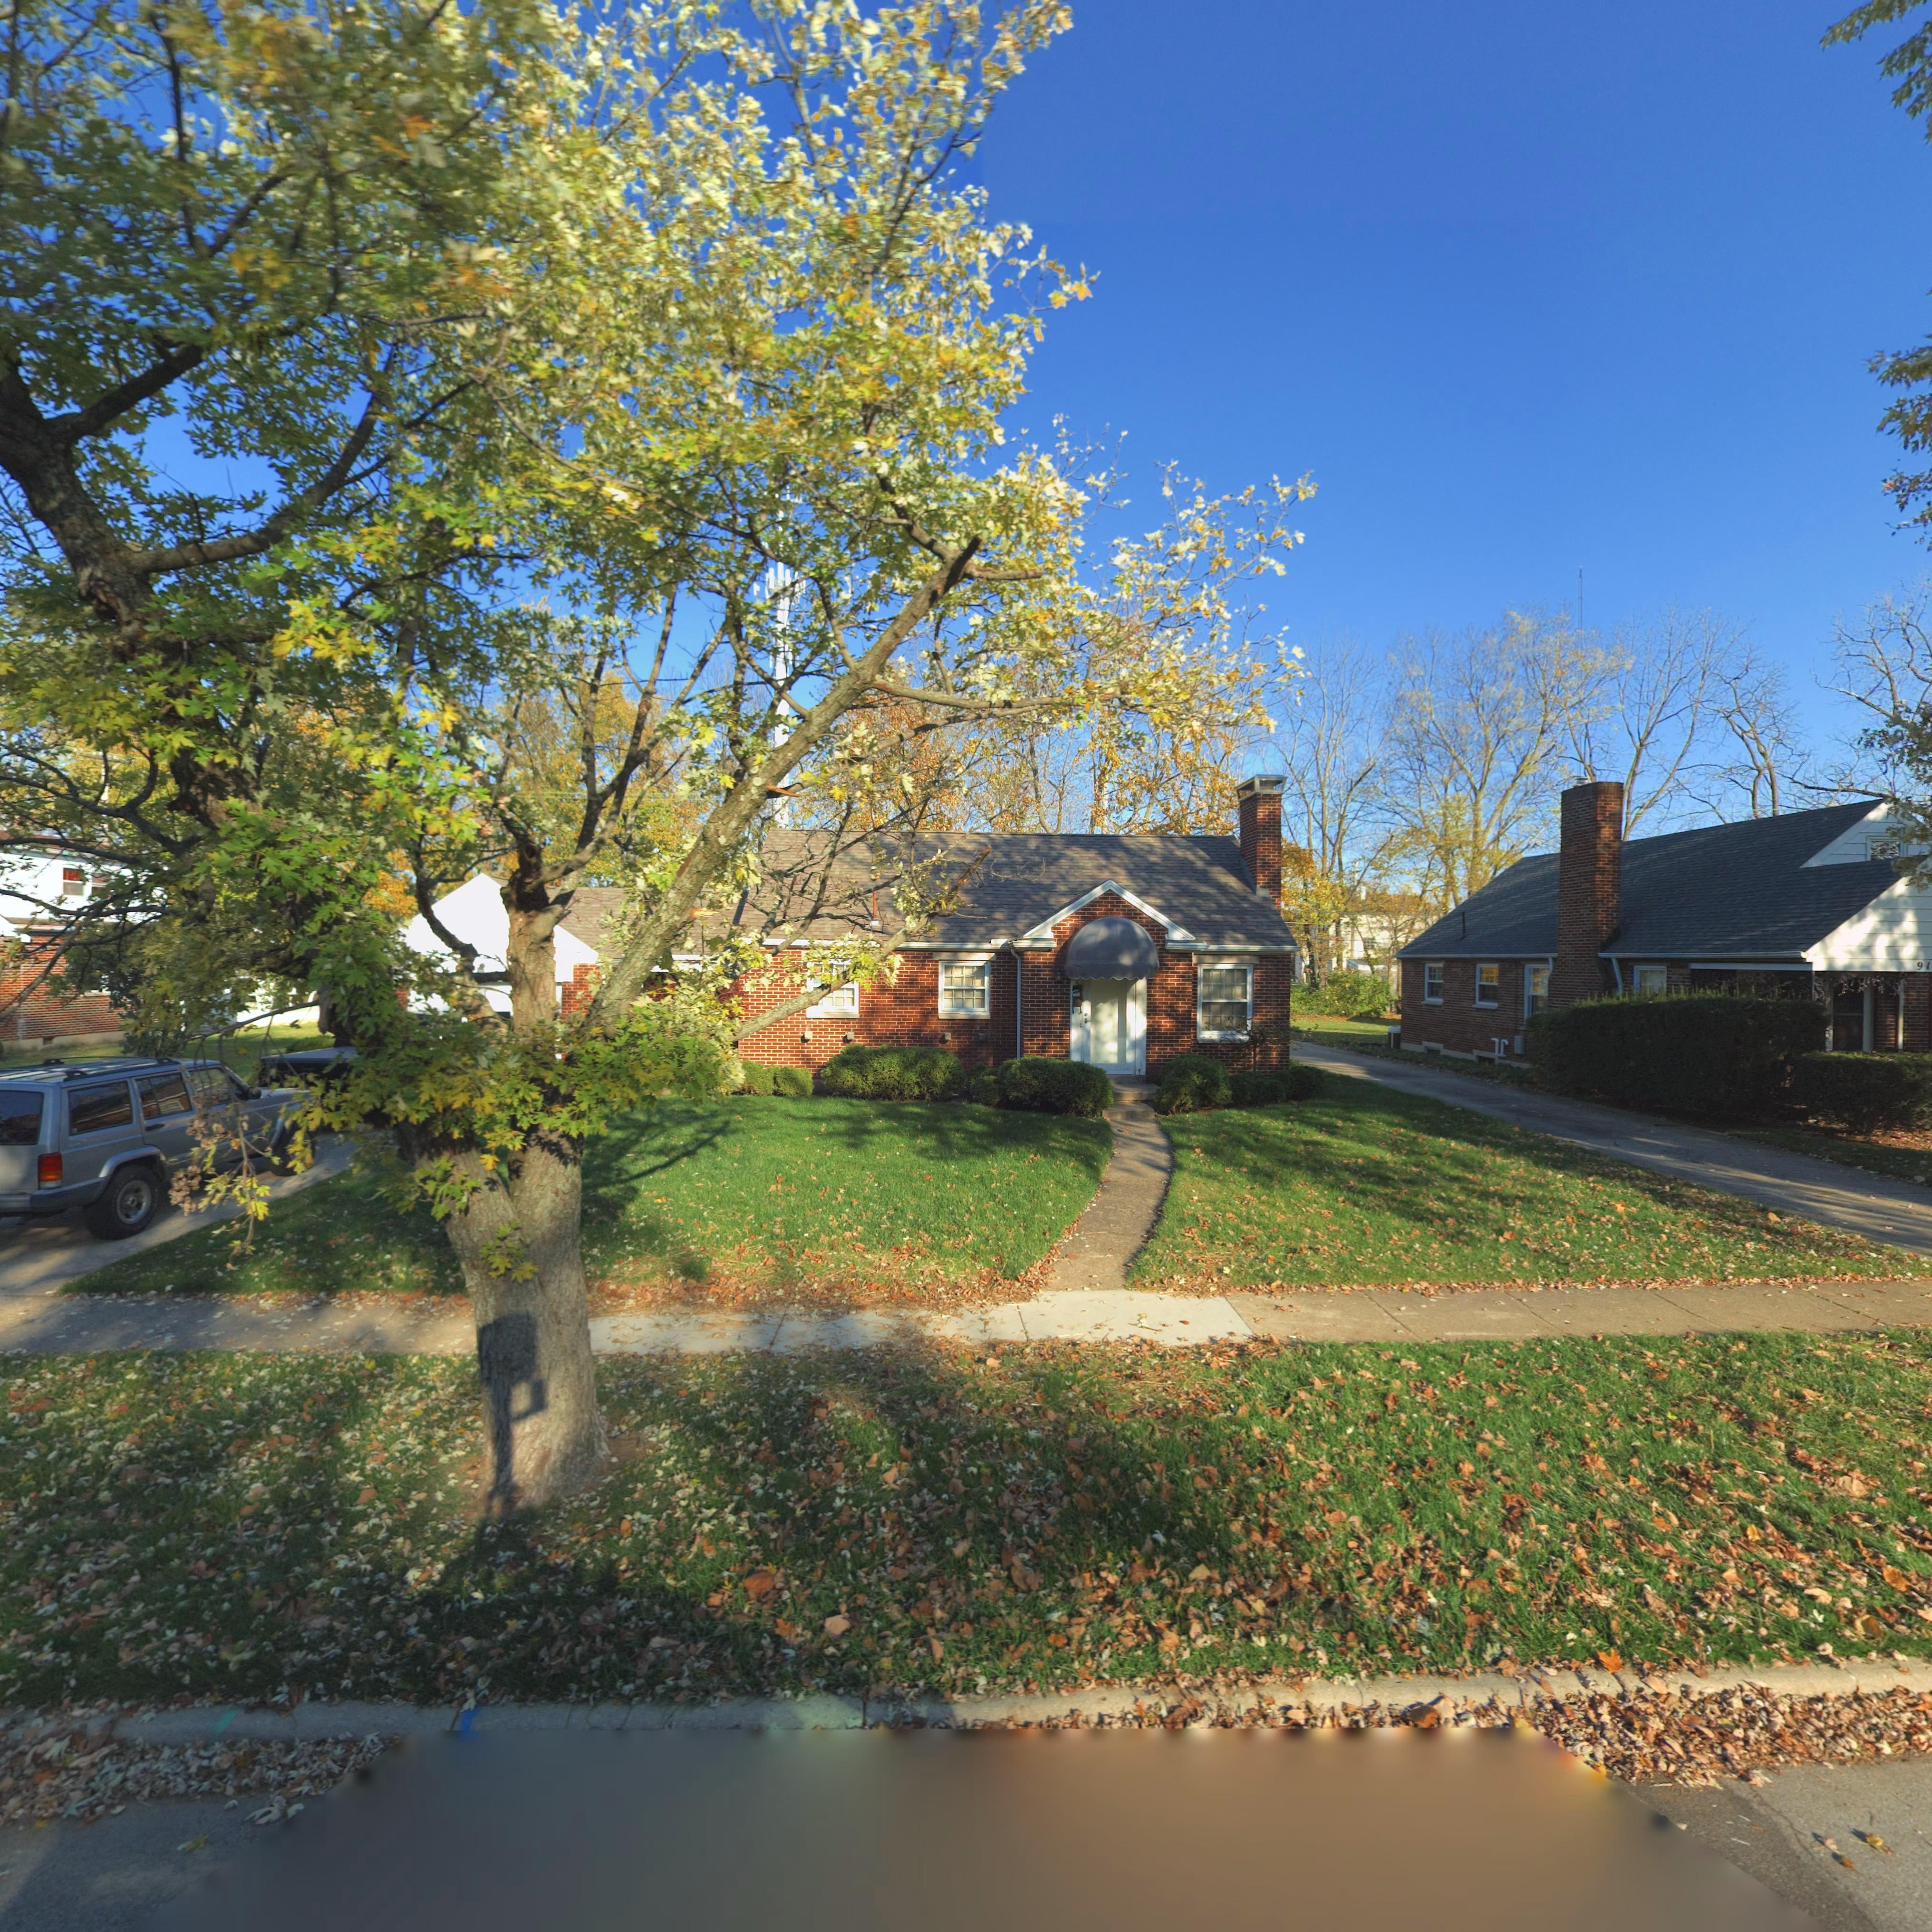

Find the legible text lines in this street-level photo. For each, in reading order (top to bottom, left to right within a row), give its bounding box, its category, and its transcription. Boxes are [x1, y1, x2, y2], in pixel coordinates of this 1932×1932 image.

[1916, 960, 1930, 970] StreetNumber: 91